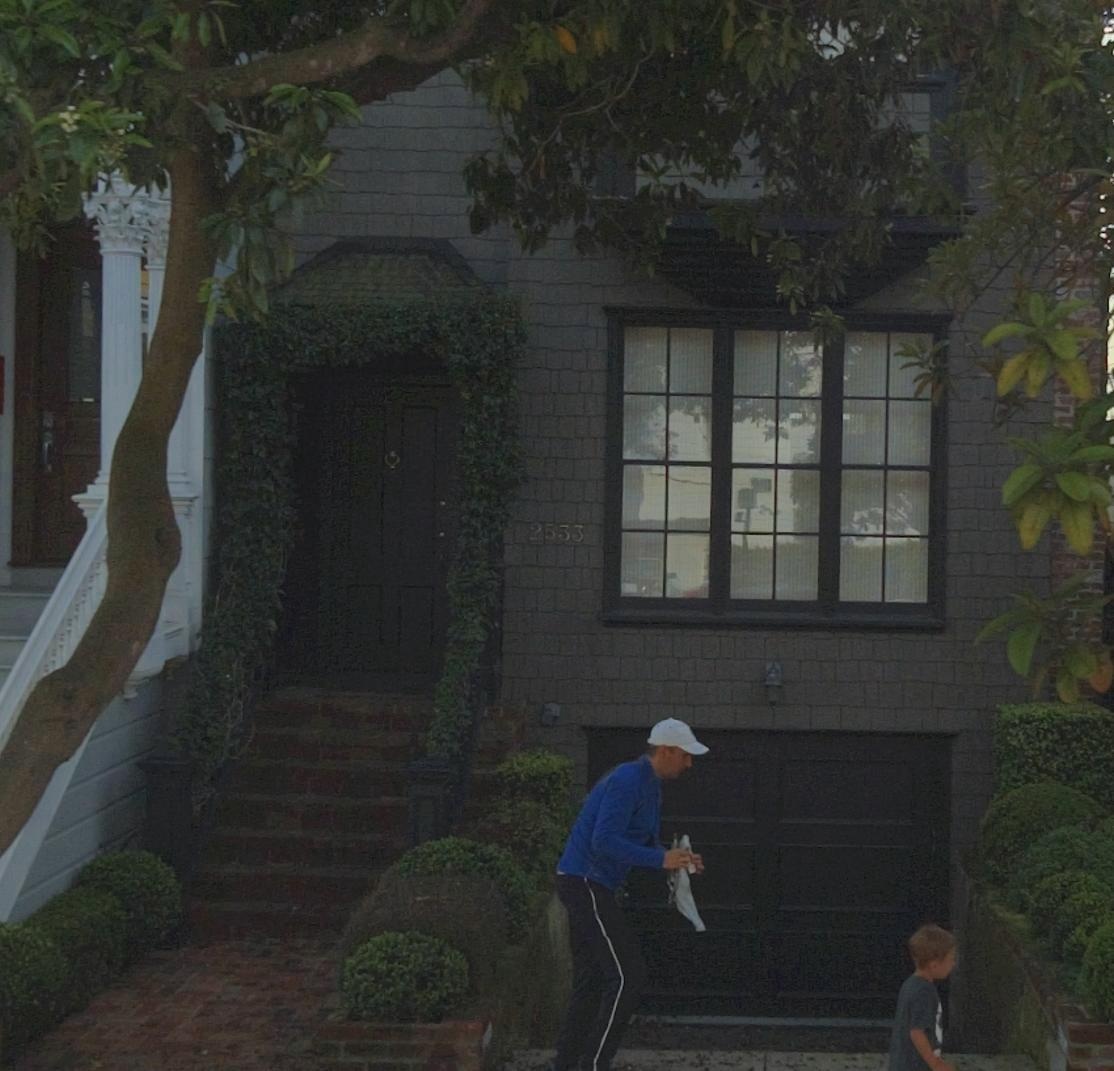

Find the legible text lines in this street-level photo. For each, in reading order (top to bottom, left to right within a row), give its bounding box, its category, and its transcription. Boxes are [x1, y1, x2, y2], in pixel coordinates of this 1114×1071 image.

[528, 520, 586, 545] StreetNumber: 2533